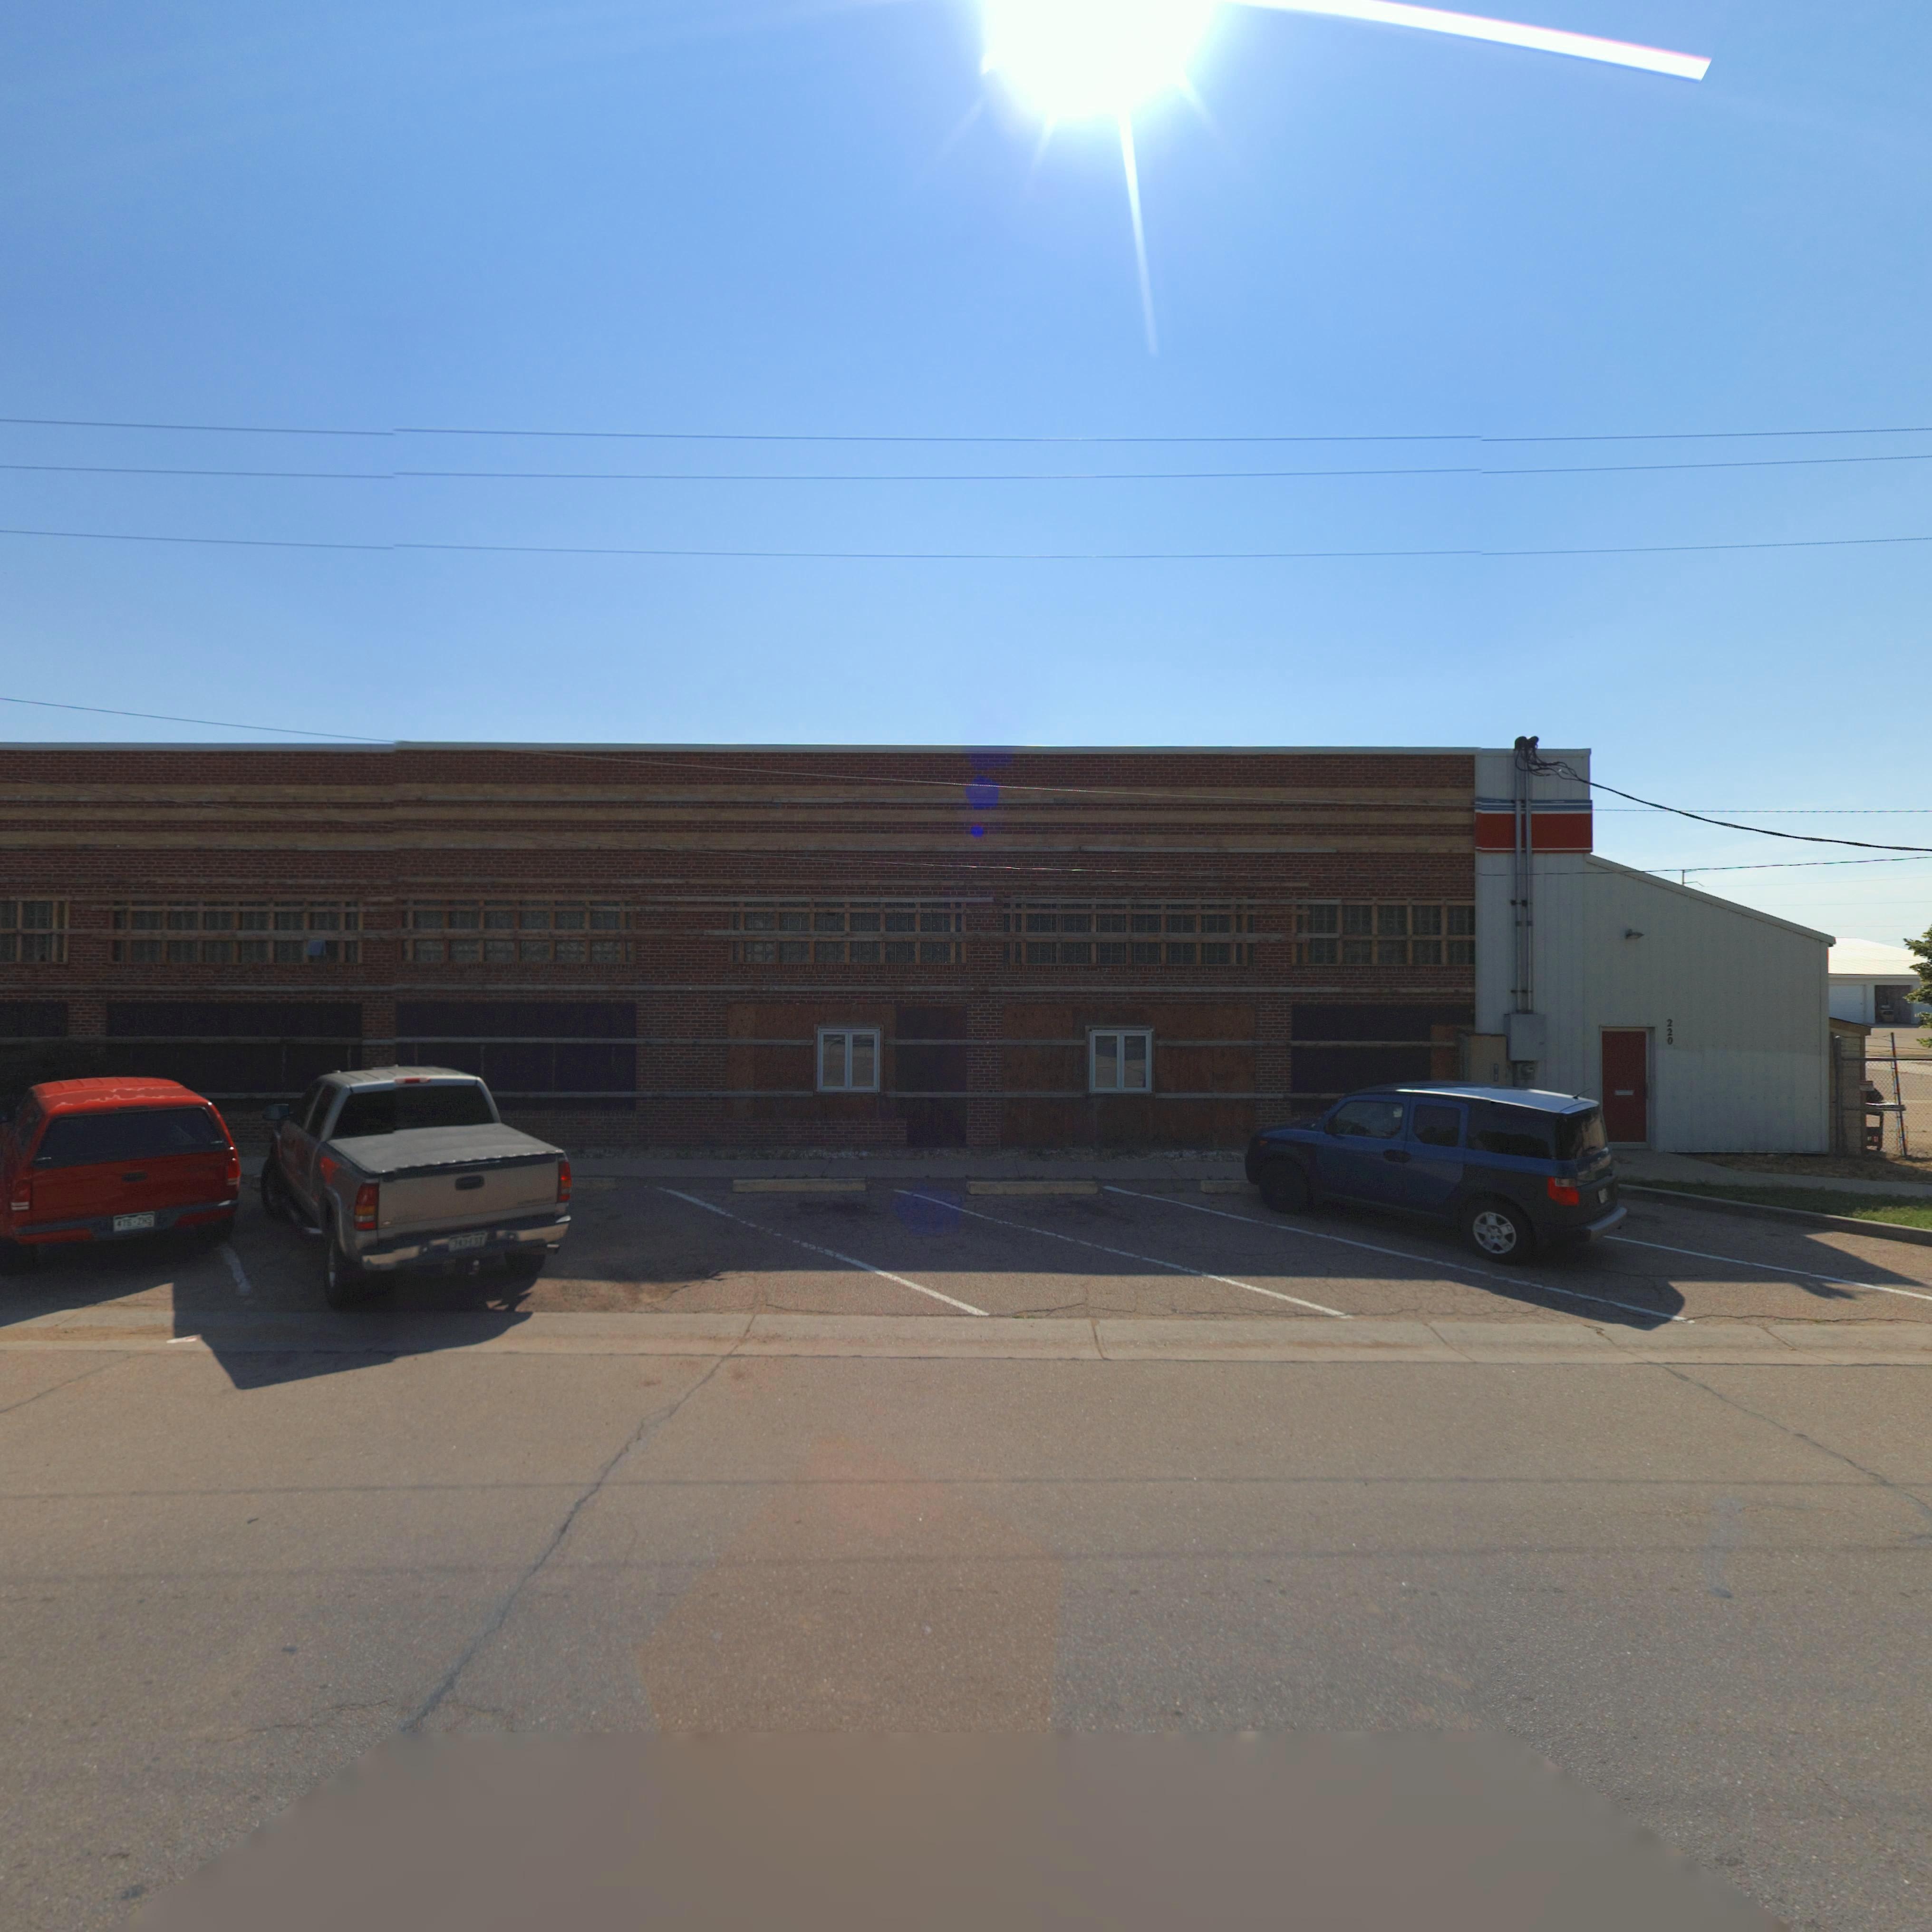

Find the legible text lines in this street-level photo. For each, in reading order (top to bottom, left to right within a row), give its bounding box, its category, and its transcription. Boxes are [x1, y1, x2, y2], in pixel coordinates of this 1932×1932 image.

[1666, 1017, 1673, 1045] StreetNumber: 220